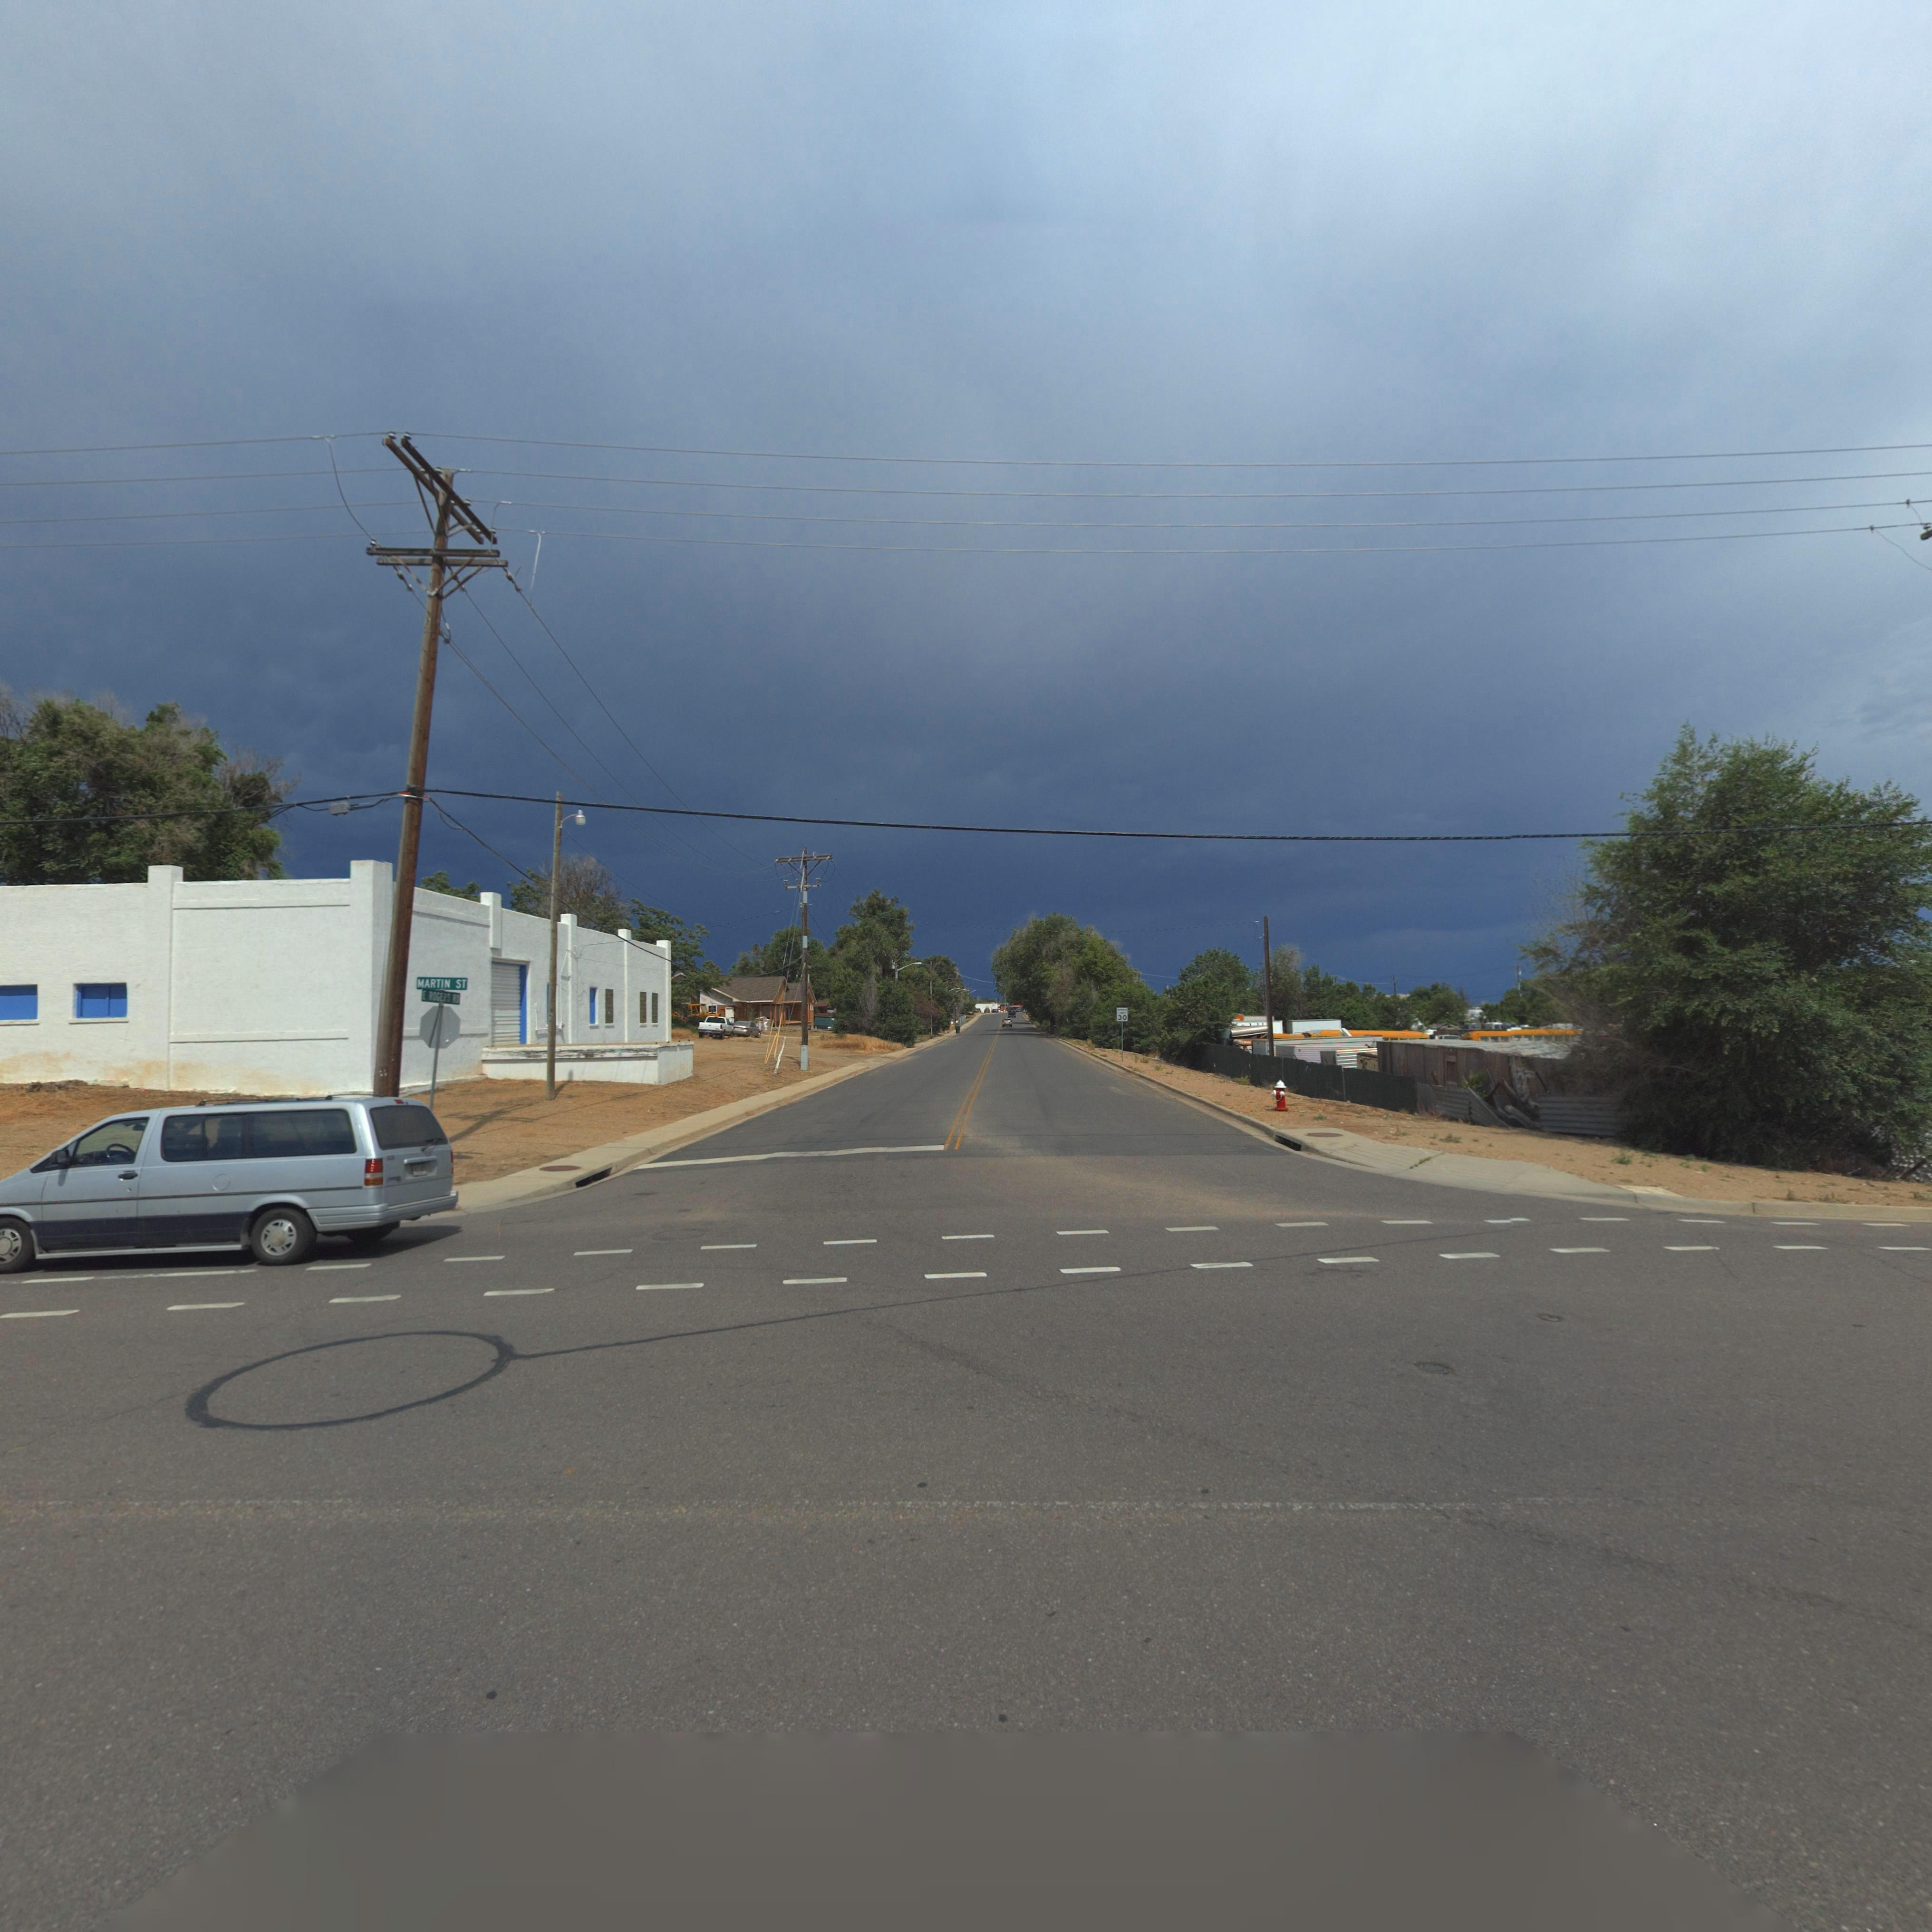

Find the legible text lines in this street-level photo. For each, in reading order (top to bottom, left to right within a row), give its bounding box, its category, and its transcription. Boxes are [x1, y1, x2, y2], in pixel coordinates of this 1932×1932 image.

[416, 977, 467, 989] StreetName: MARTIN ST
[421, 990, 460, 1004] StreetName: E ROGERS RD